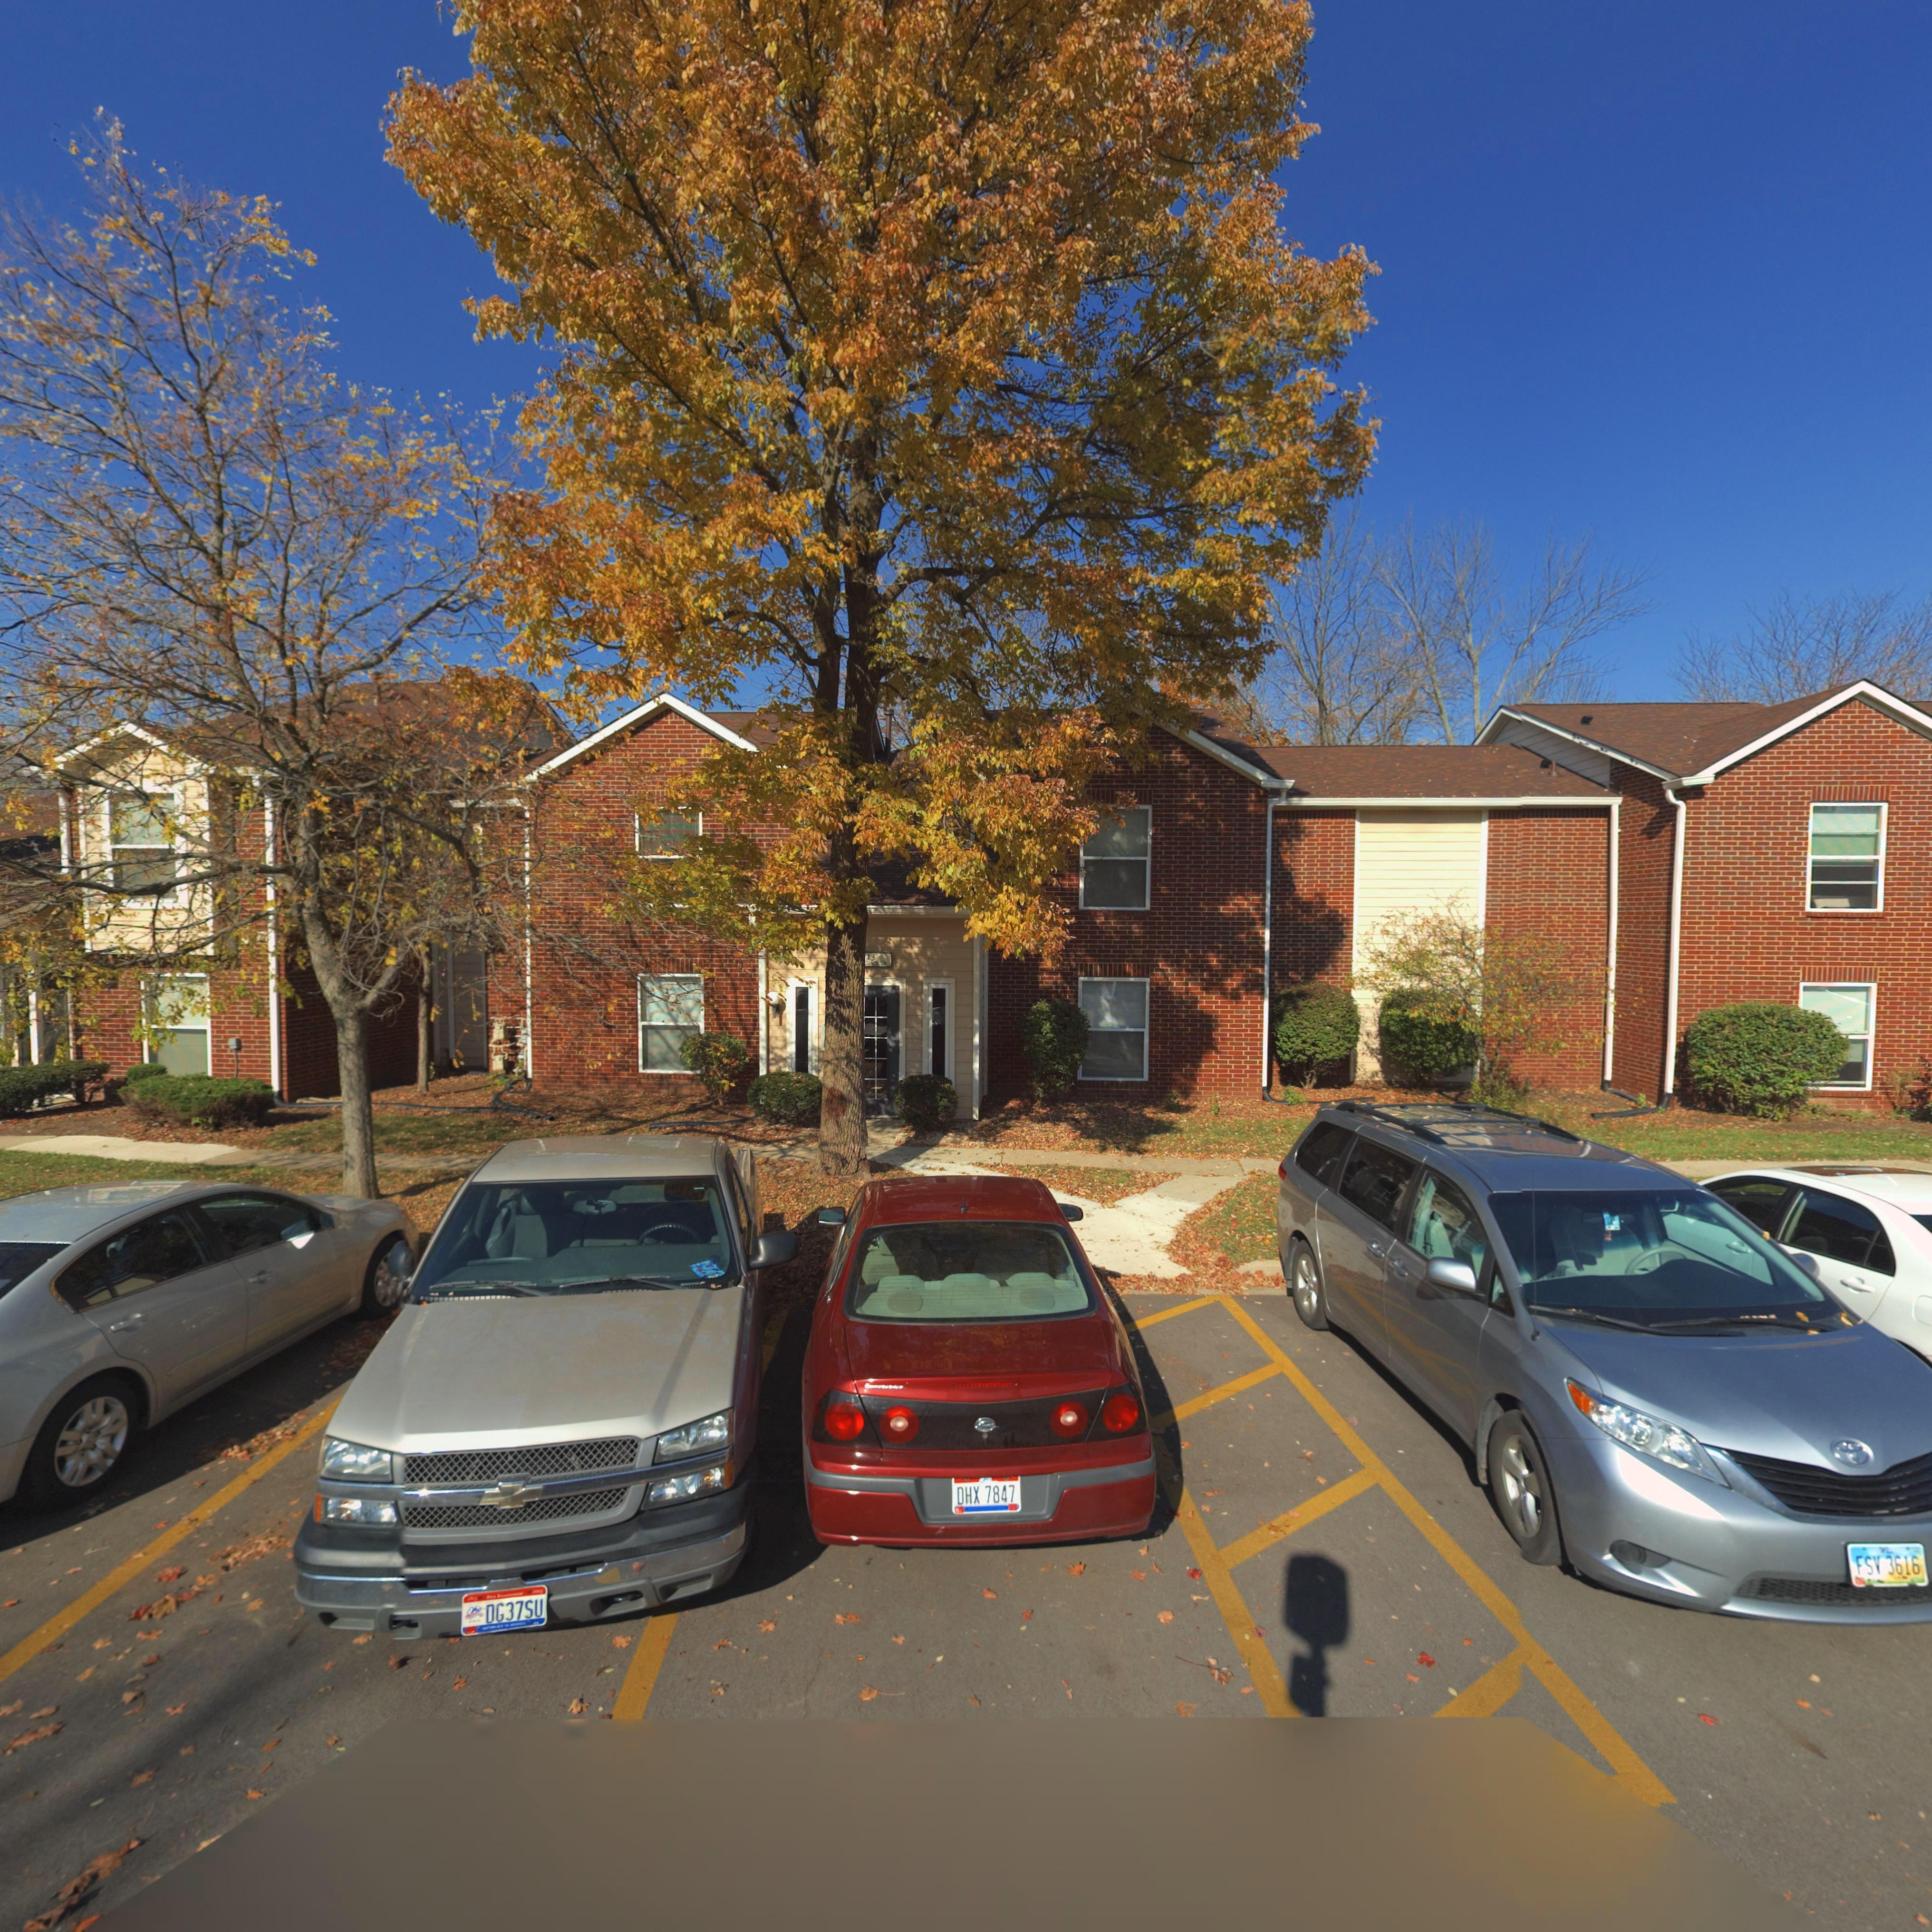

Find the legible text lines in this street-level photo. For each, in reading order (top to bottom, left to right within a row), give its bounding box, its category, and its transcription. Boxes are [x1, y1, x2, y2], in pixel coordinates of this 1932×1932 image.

[864, 953, 876, 962] StreetNumber: 43
[956, 1483, 1017, 1507] None: DHX 7847
[1852, 1552, 1924, 1579] None: FSV 3616
[483, 1596, 545, 1626] None: DG37SU